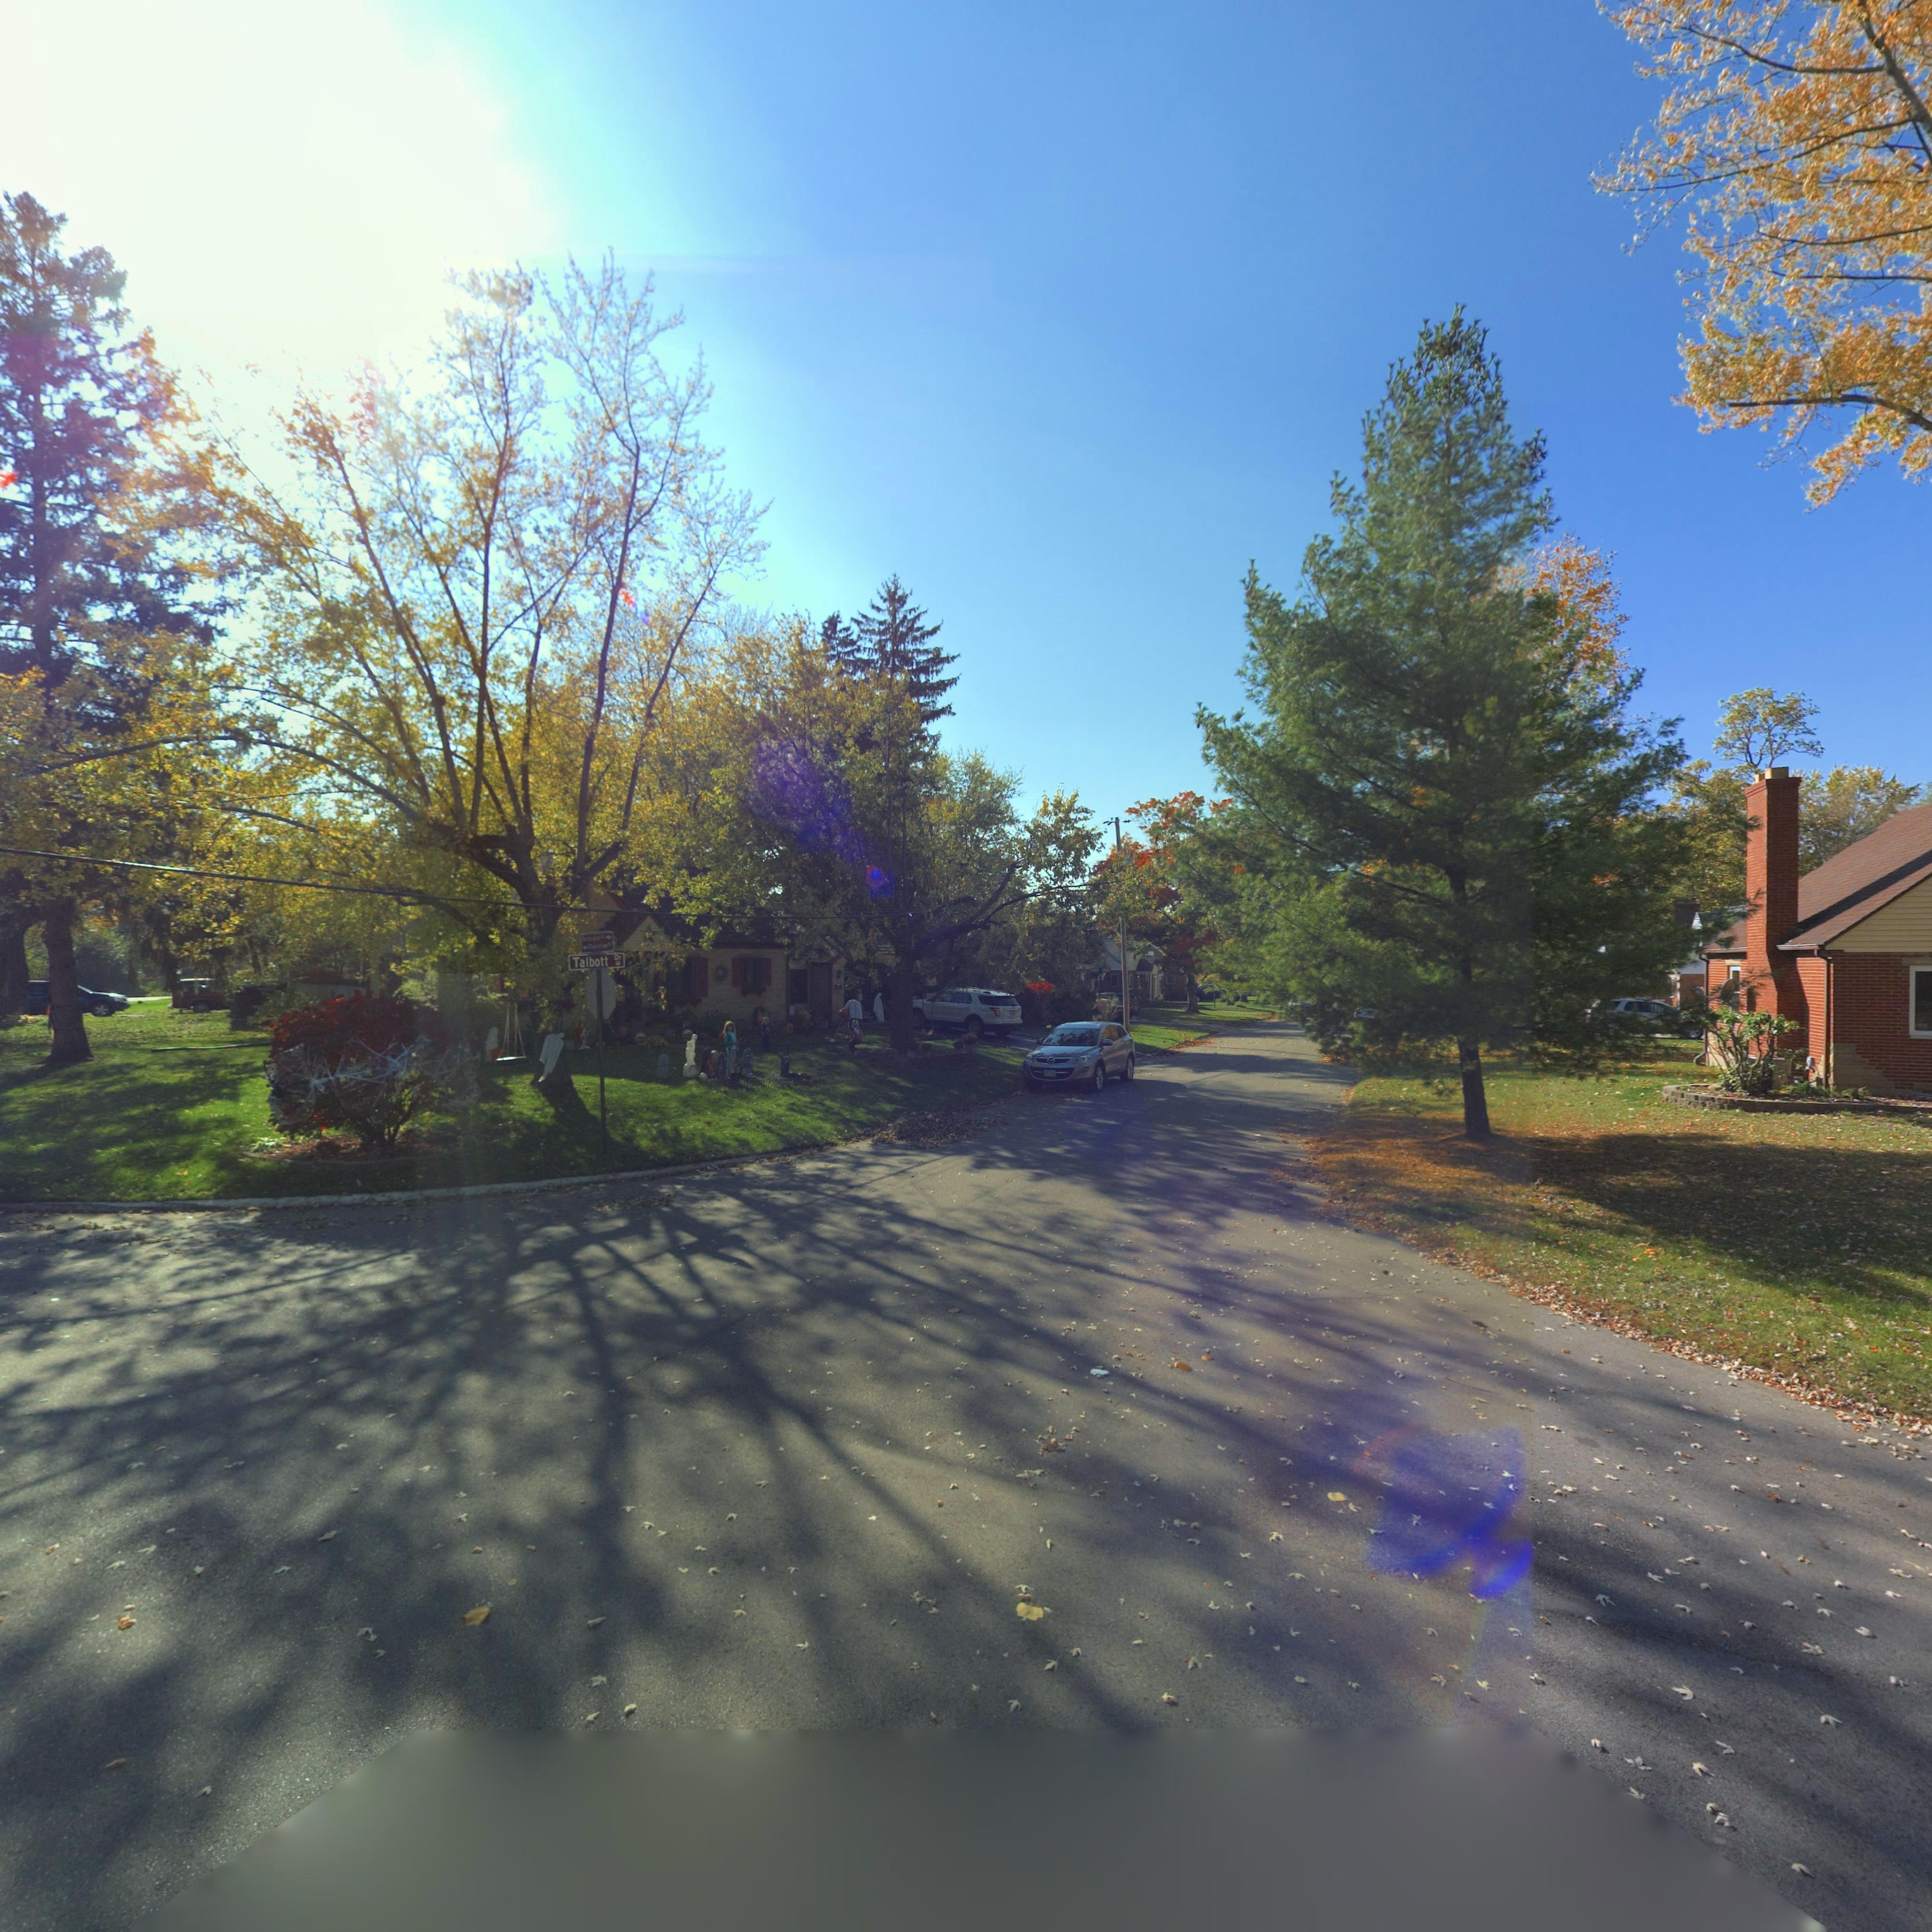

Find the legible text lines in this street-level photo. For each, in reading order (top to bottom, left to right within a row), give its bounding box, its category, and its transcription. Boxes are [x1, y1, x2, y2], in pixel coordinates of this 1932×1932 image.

[570, 953, 623, 970] StreetName: Talbott Dr